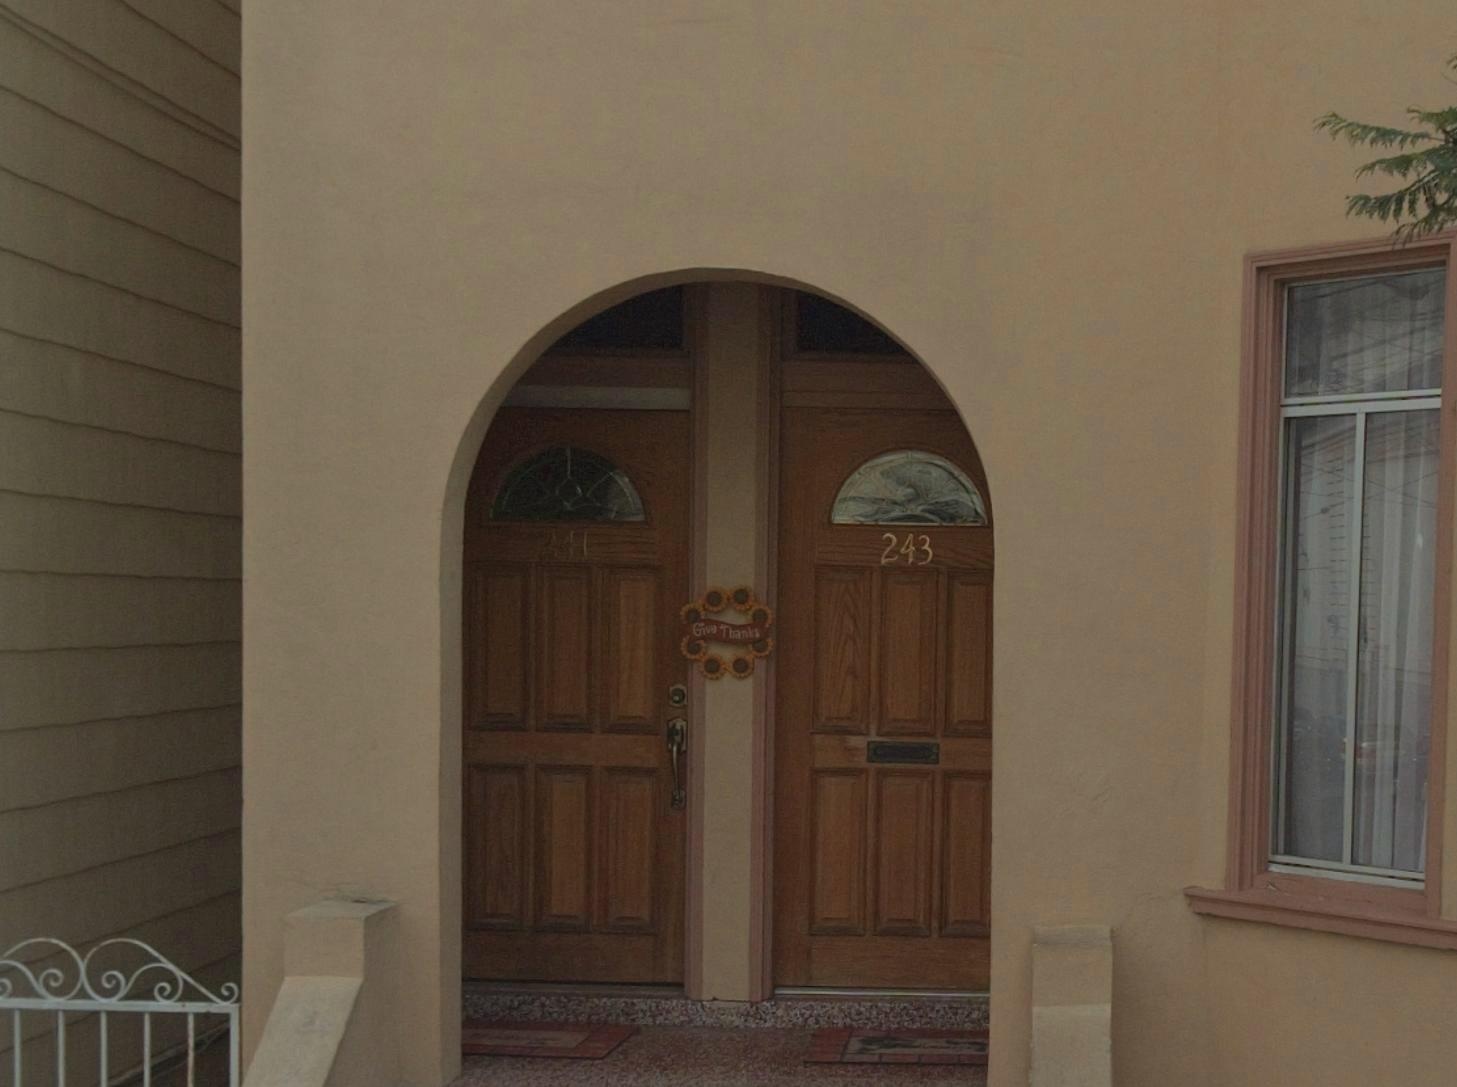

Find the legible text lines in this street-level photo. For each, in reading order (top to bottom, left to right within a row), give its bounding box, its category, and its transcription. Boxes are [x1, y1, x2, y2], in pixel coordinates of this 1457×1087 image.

[537, 527, 590, 560] StreetNumber: 241
[879, 530, 935, 567] StreetNumber: 243